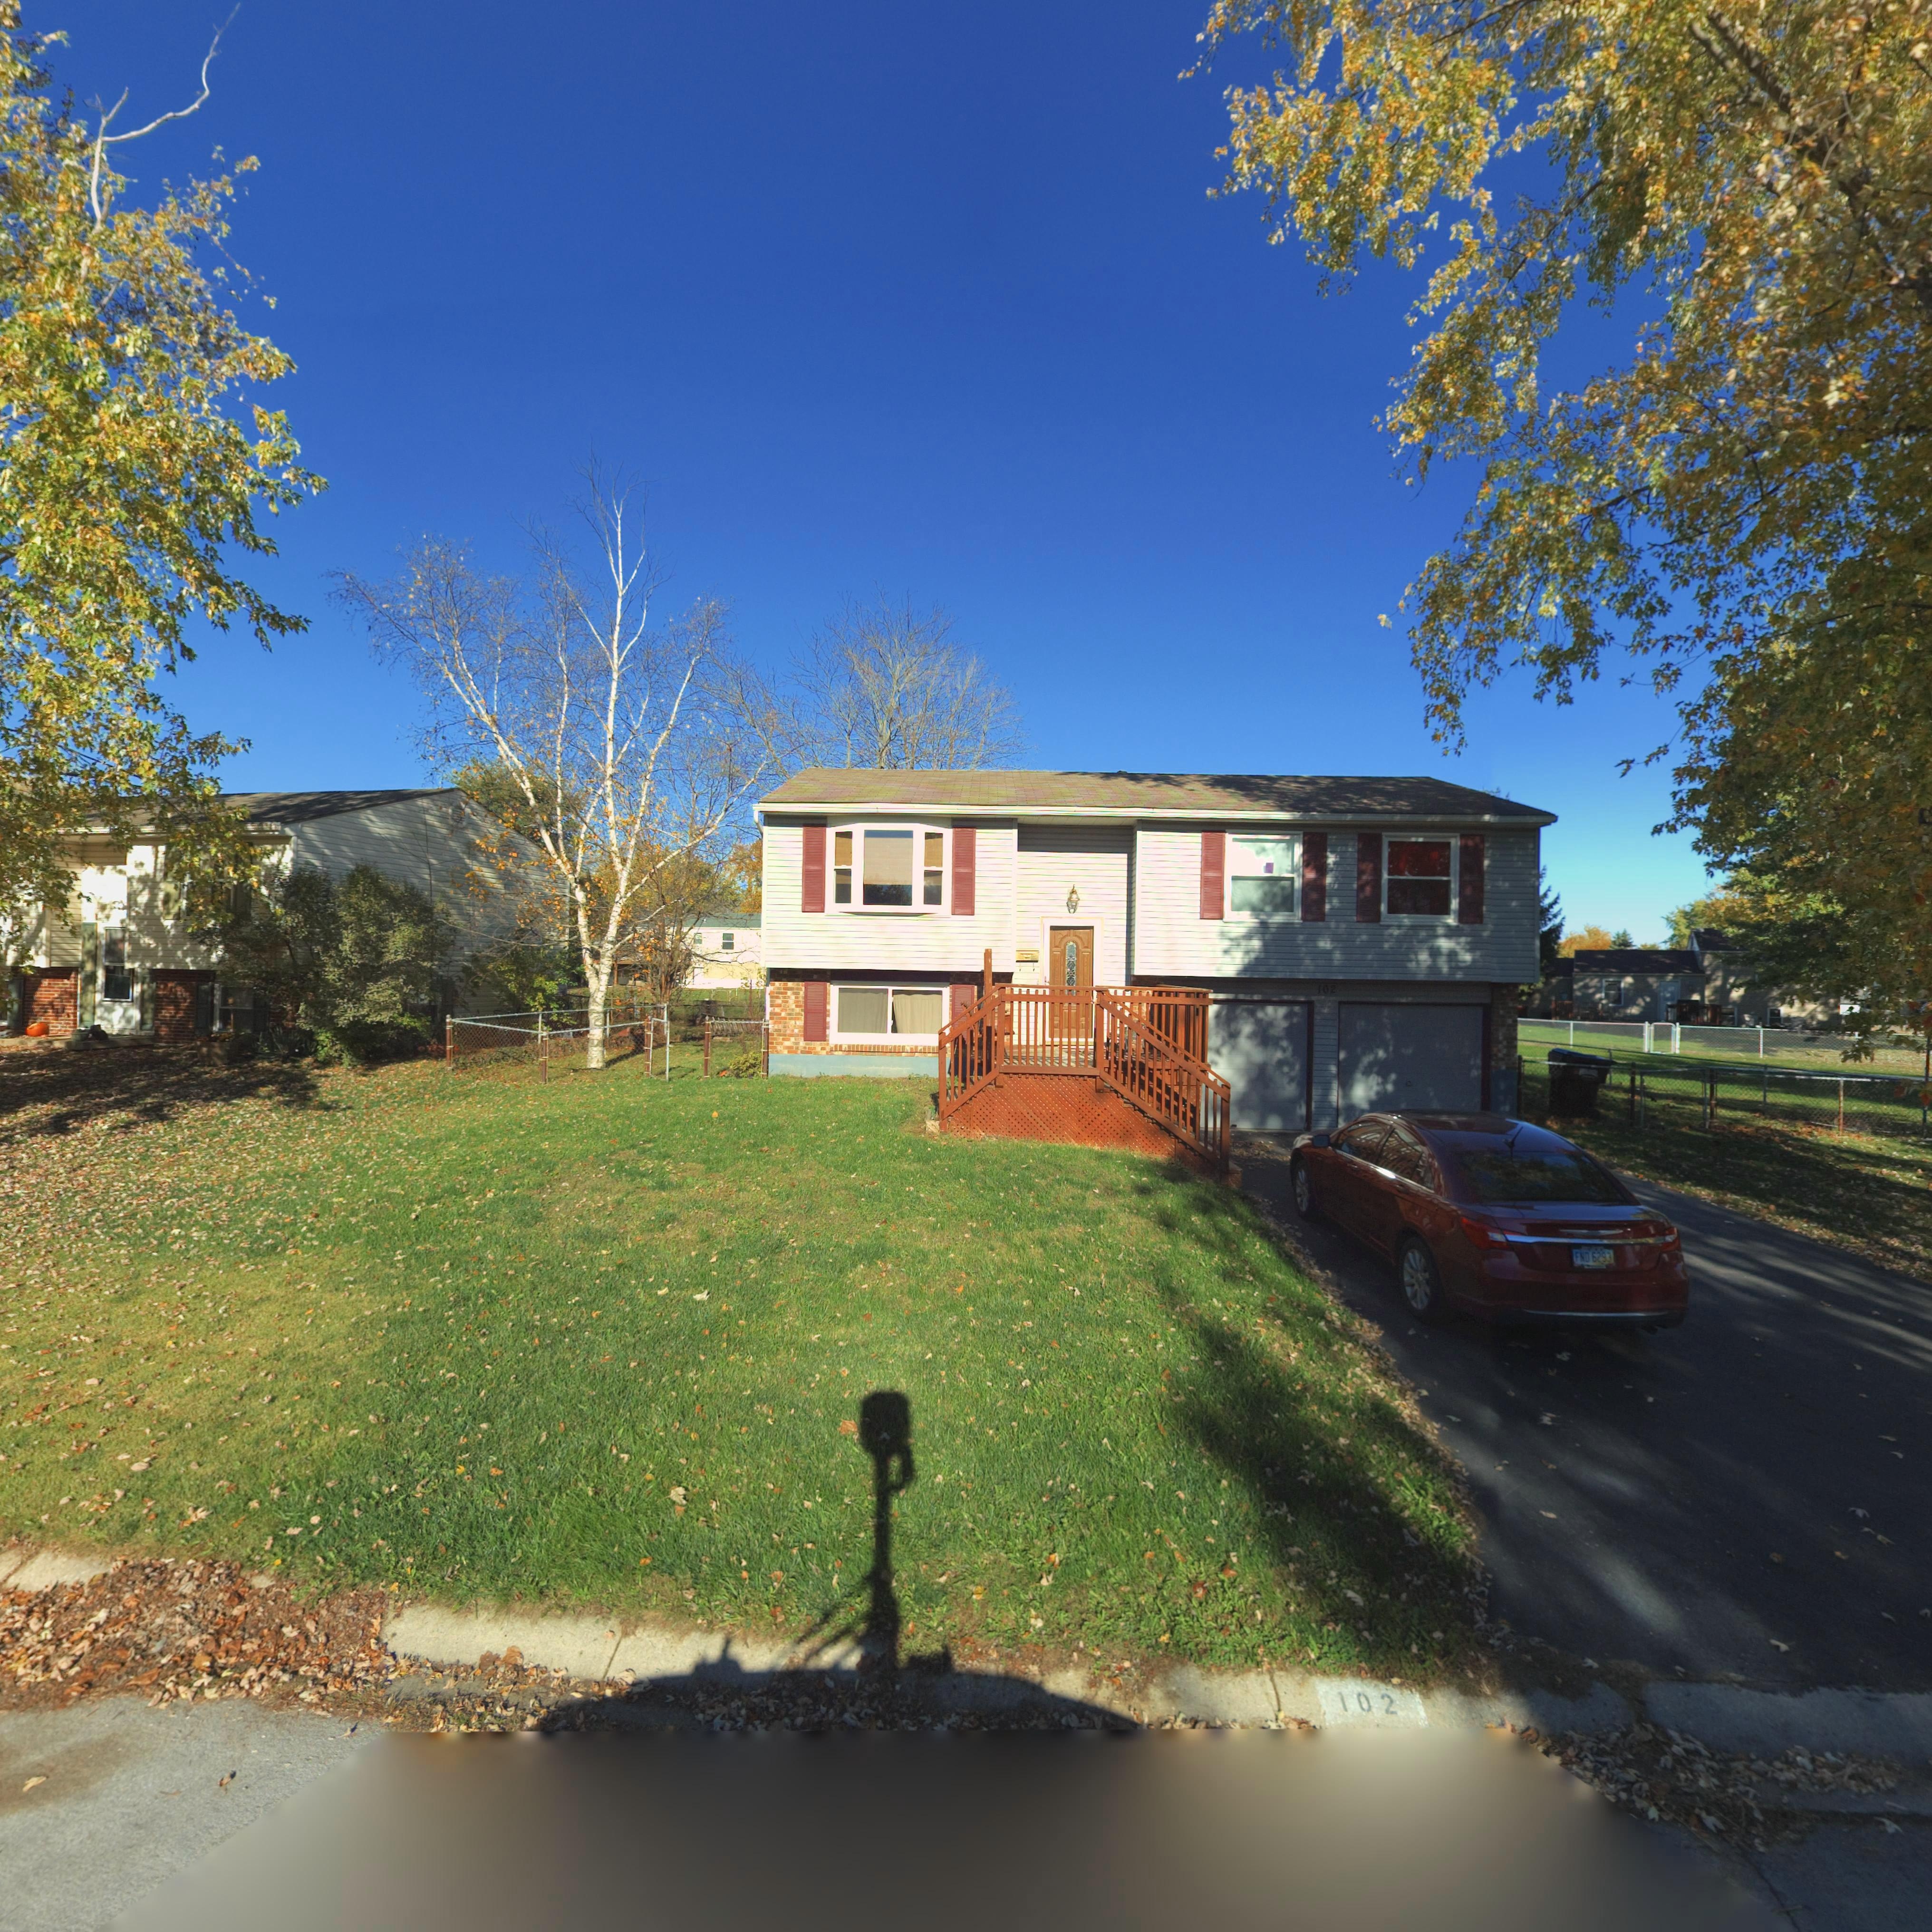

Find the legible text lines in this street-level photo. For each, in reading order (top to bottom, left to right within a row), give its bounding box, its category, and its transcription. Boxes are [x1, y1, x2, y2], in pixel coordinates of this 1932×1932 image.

[1318, 984, 1336, 994] StreetNumber: 102
[1335, 1690, 1400, 1717] StreetNumber: 102